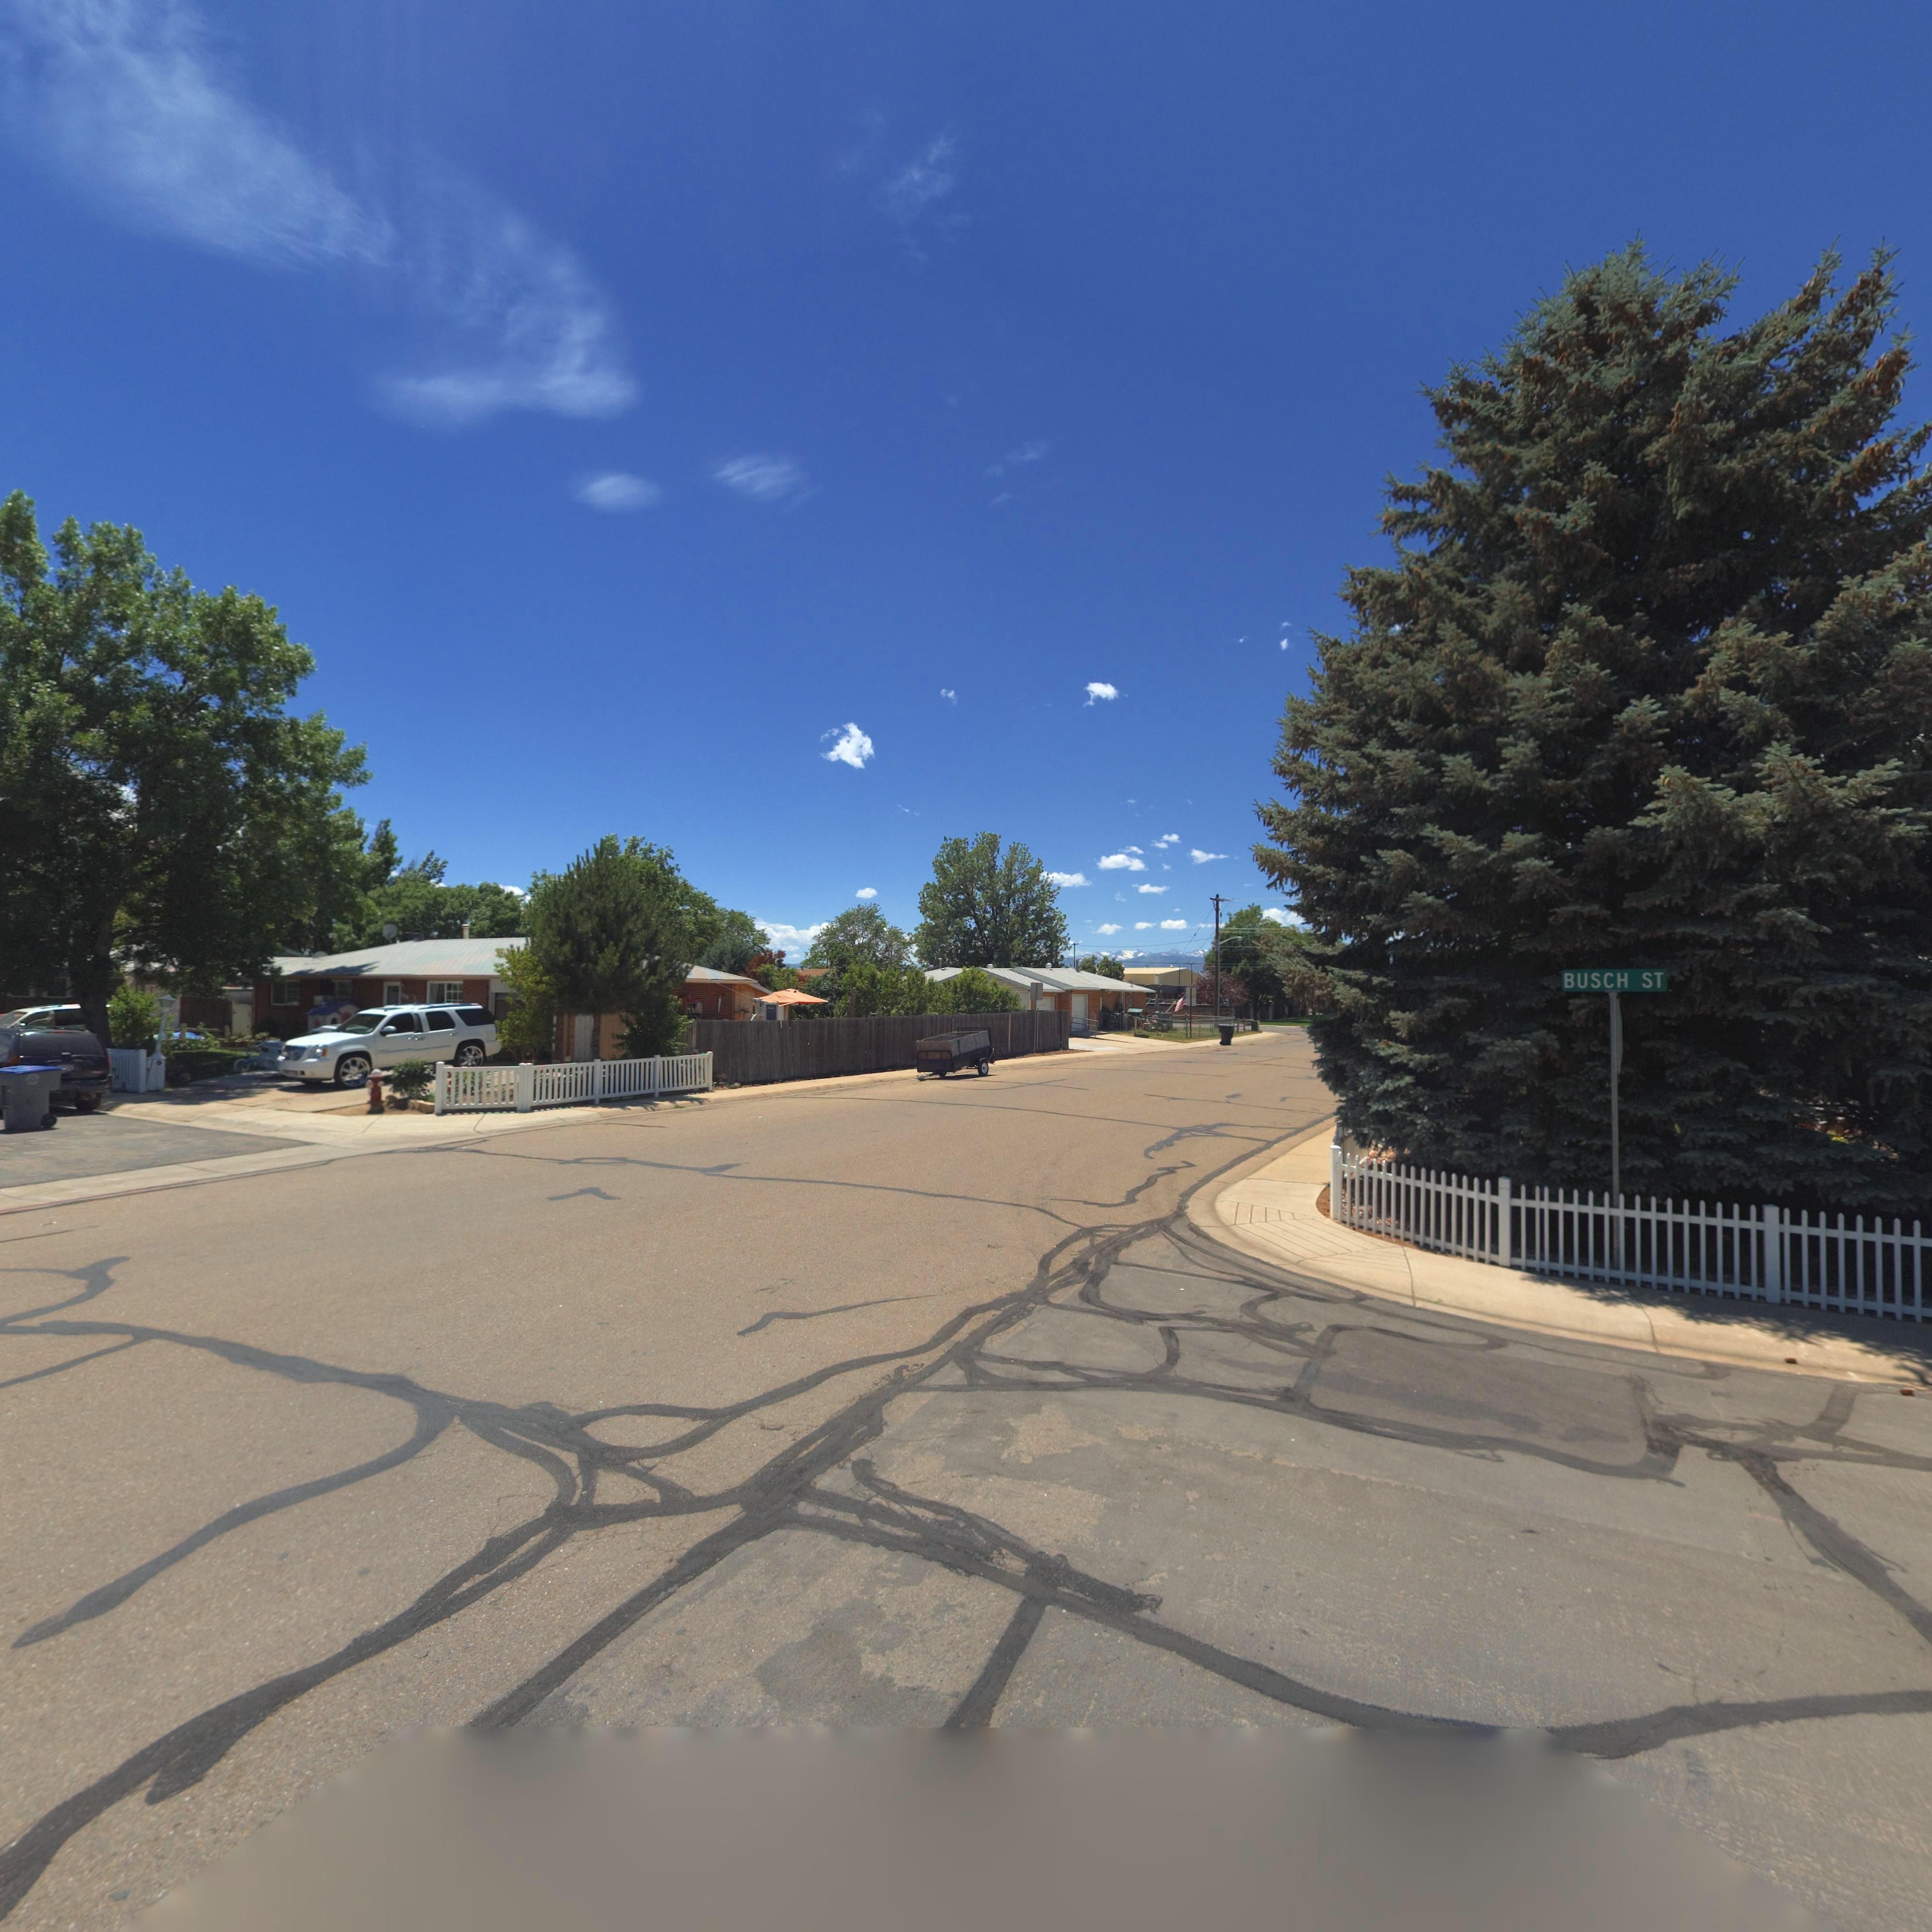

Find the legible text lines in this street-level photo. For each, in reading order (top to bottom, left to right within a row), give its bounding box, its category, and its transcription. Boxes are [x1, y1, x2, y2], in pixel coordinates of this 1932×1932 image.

[1564, 972, 1663, 988] StreetName: BUSCH ST